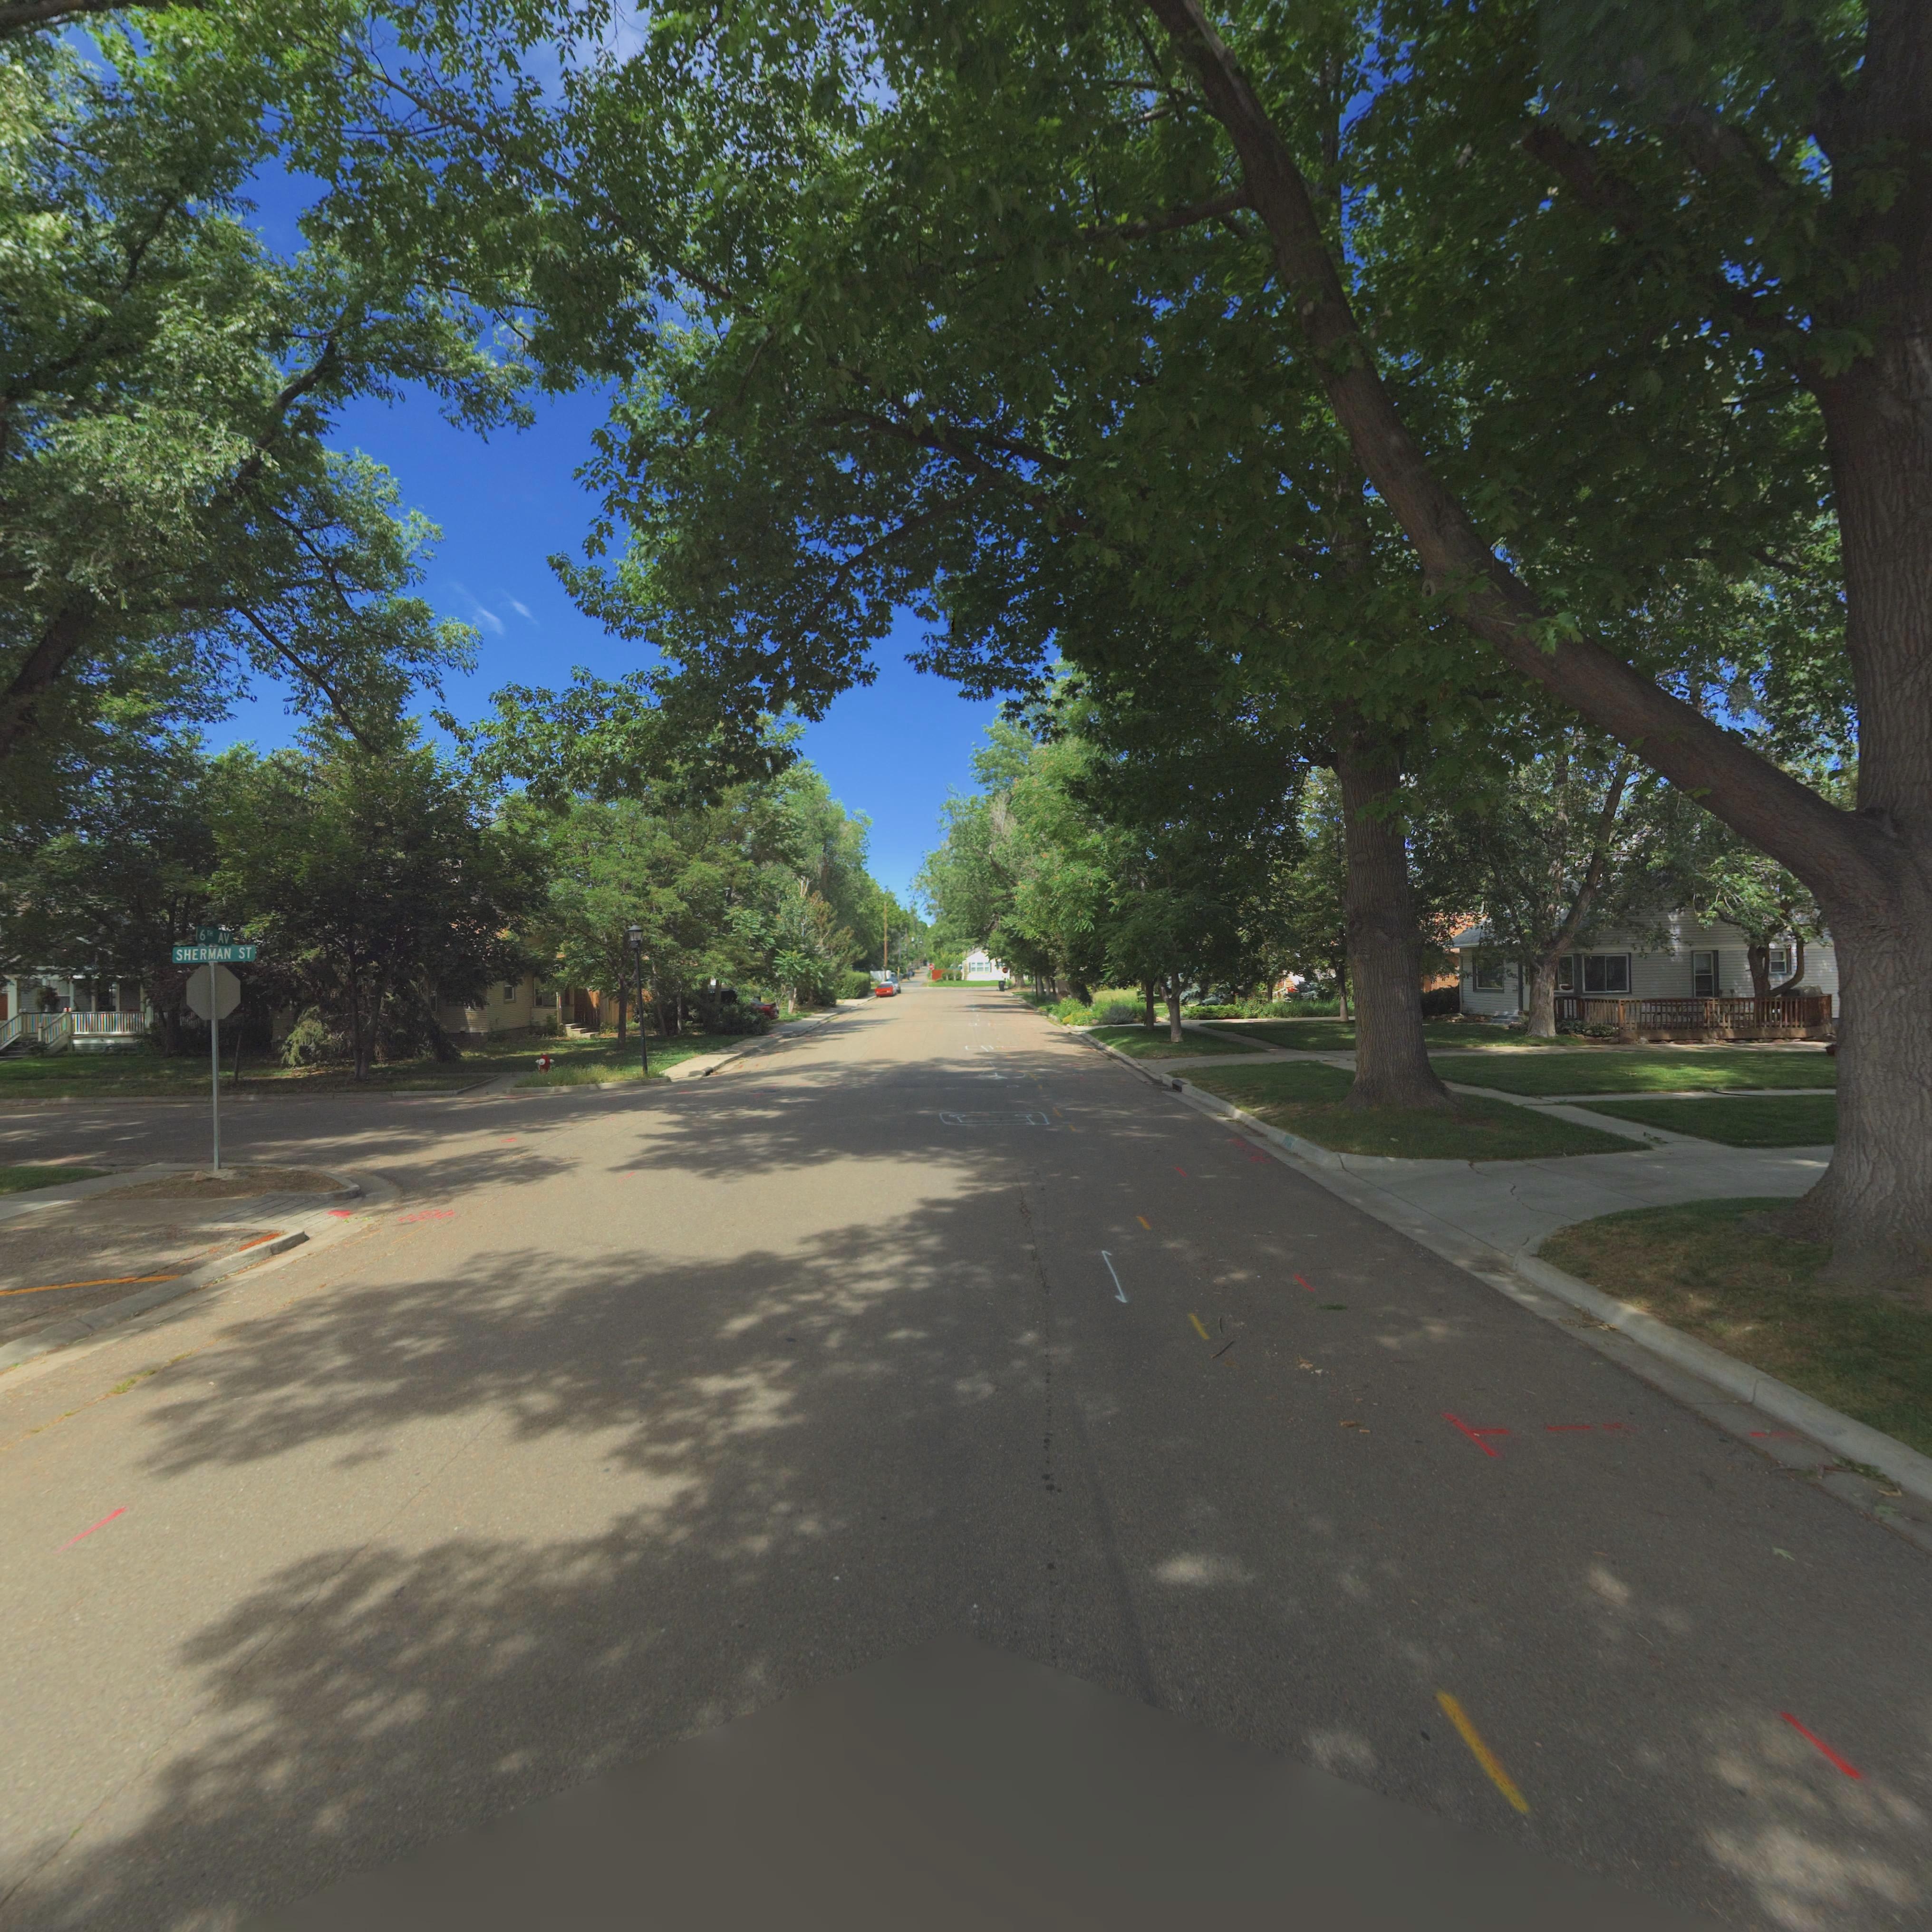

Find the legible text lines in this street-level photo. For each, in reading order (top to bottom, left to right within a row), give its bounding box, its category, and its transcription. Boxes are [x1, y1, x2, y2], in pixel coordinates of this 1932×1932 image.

[199, 929, 230, 944] StreetName: 6** AV
[175, 947, 252, 960] StreetName: SHERMAN ST